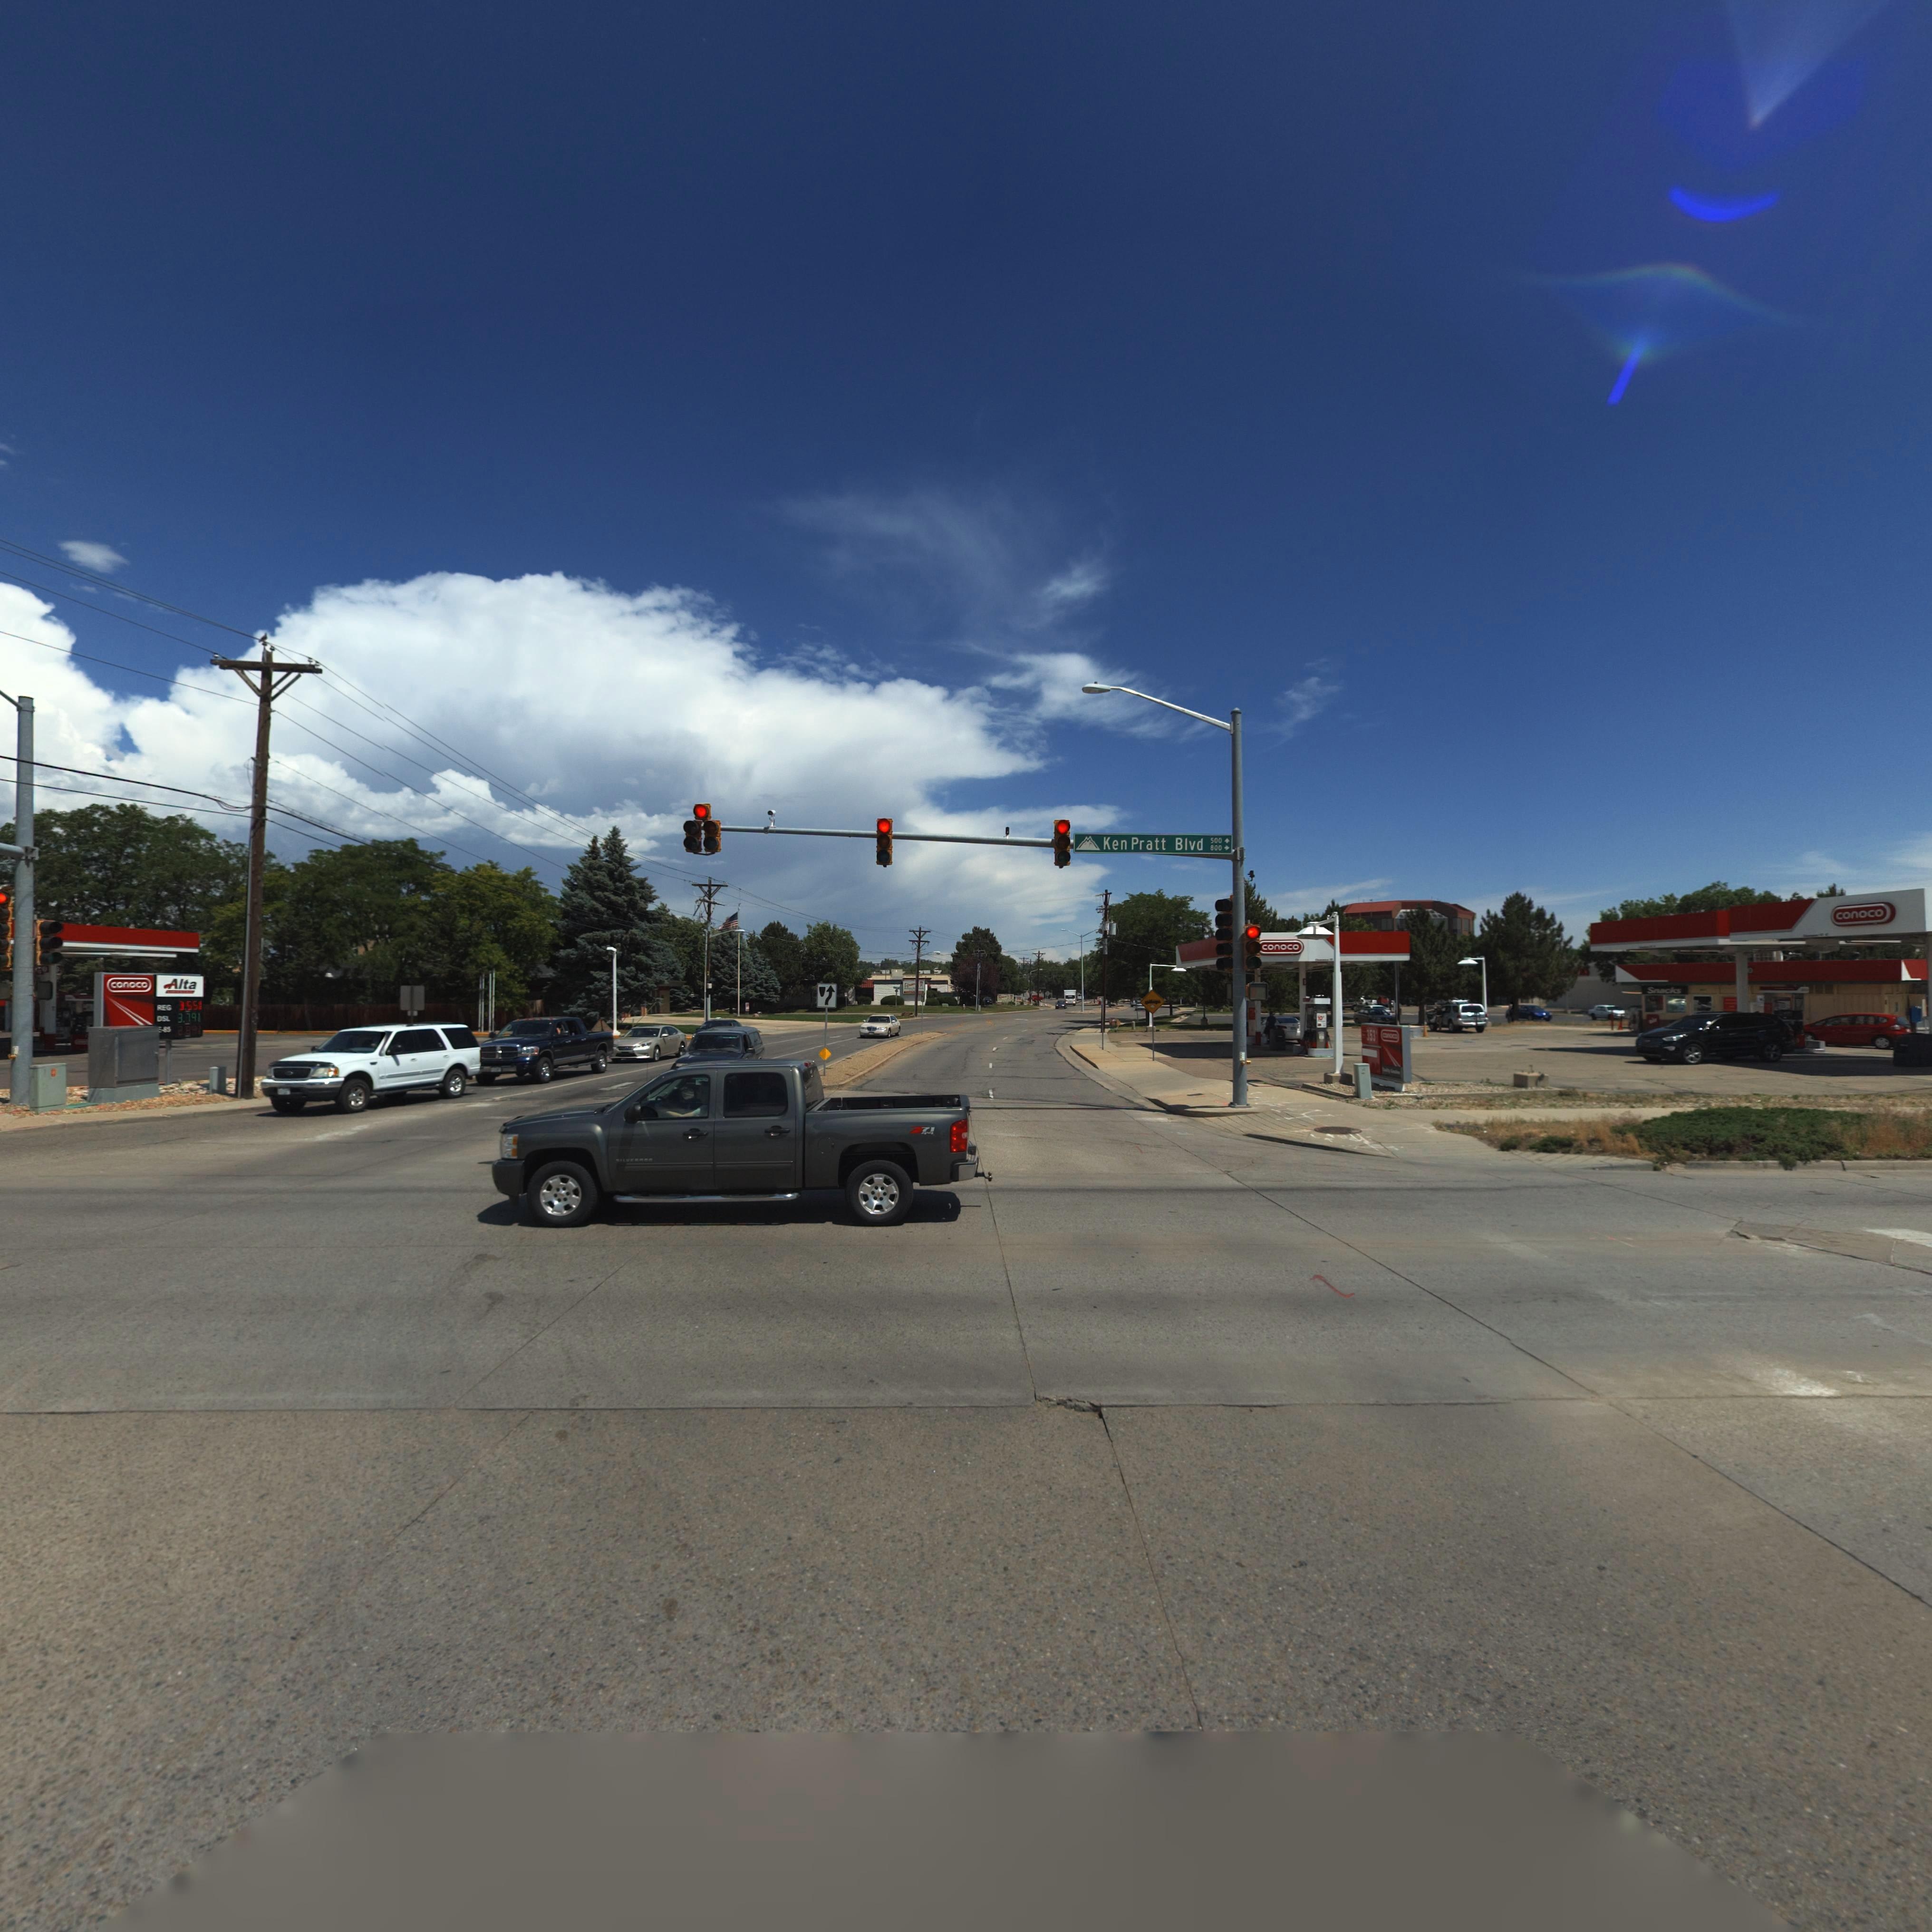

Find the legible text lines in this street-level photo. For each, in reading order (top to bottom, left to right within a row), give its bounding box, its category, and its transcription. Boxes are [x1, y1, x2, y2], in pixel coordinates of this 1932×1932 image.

[1103, 836, 1203, 850] StreetName: Ken Pratt Blvd
[1210, 837, 1222, 843] StreetNumberRange: 500
[1210, 845, 1229, 850] StreetNumberRange: 800 ->
[1835, 908, 1884, 919] BusinessName: conoco
[1261, 944, 1299, 950] BusinessName: conoco
[1382, 1033, 1398, 1039] BusinessName: *o*oco